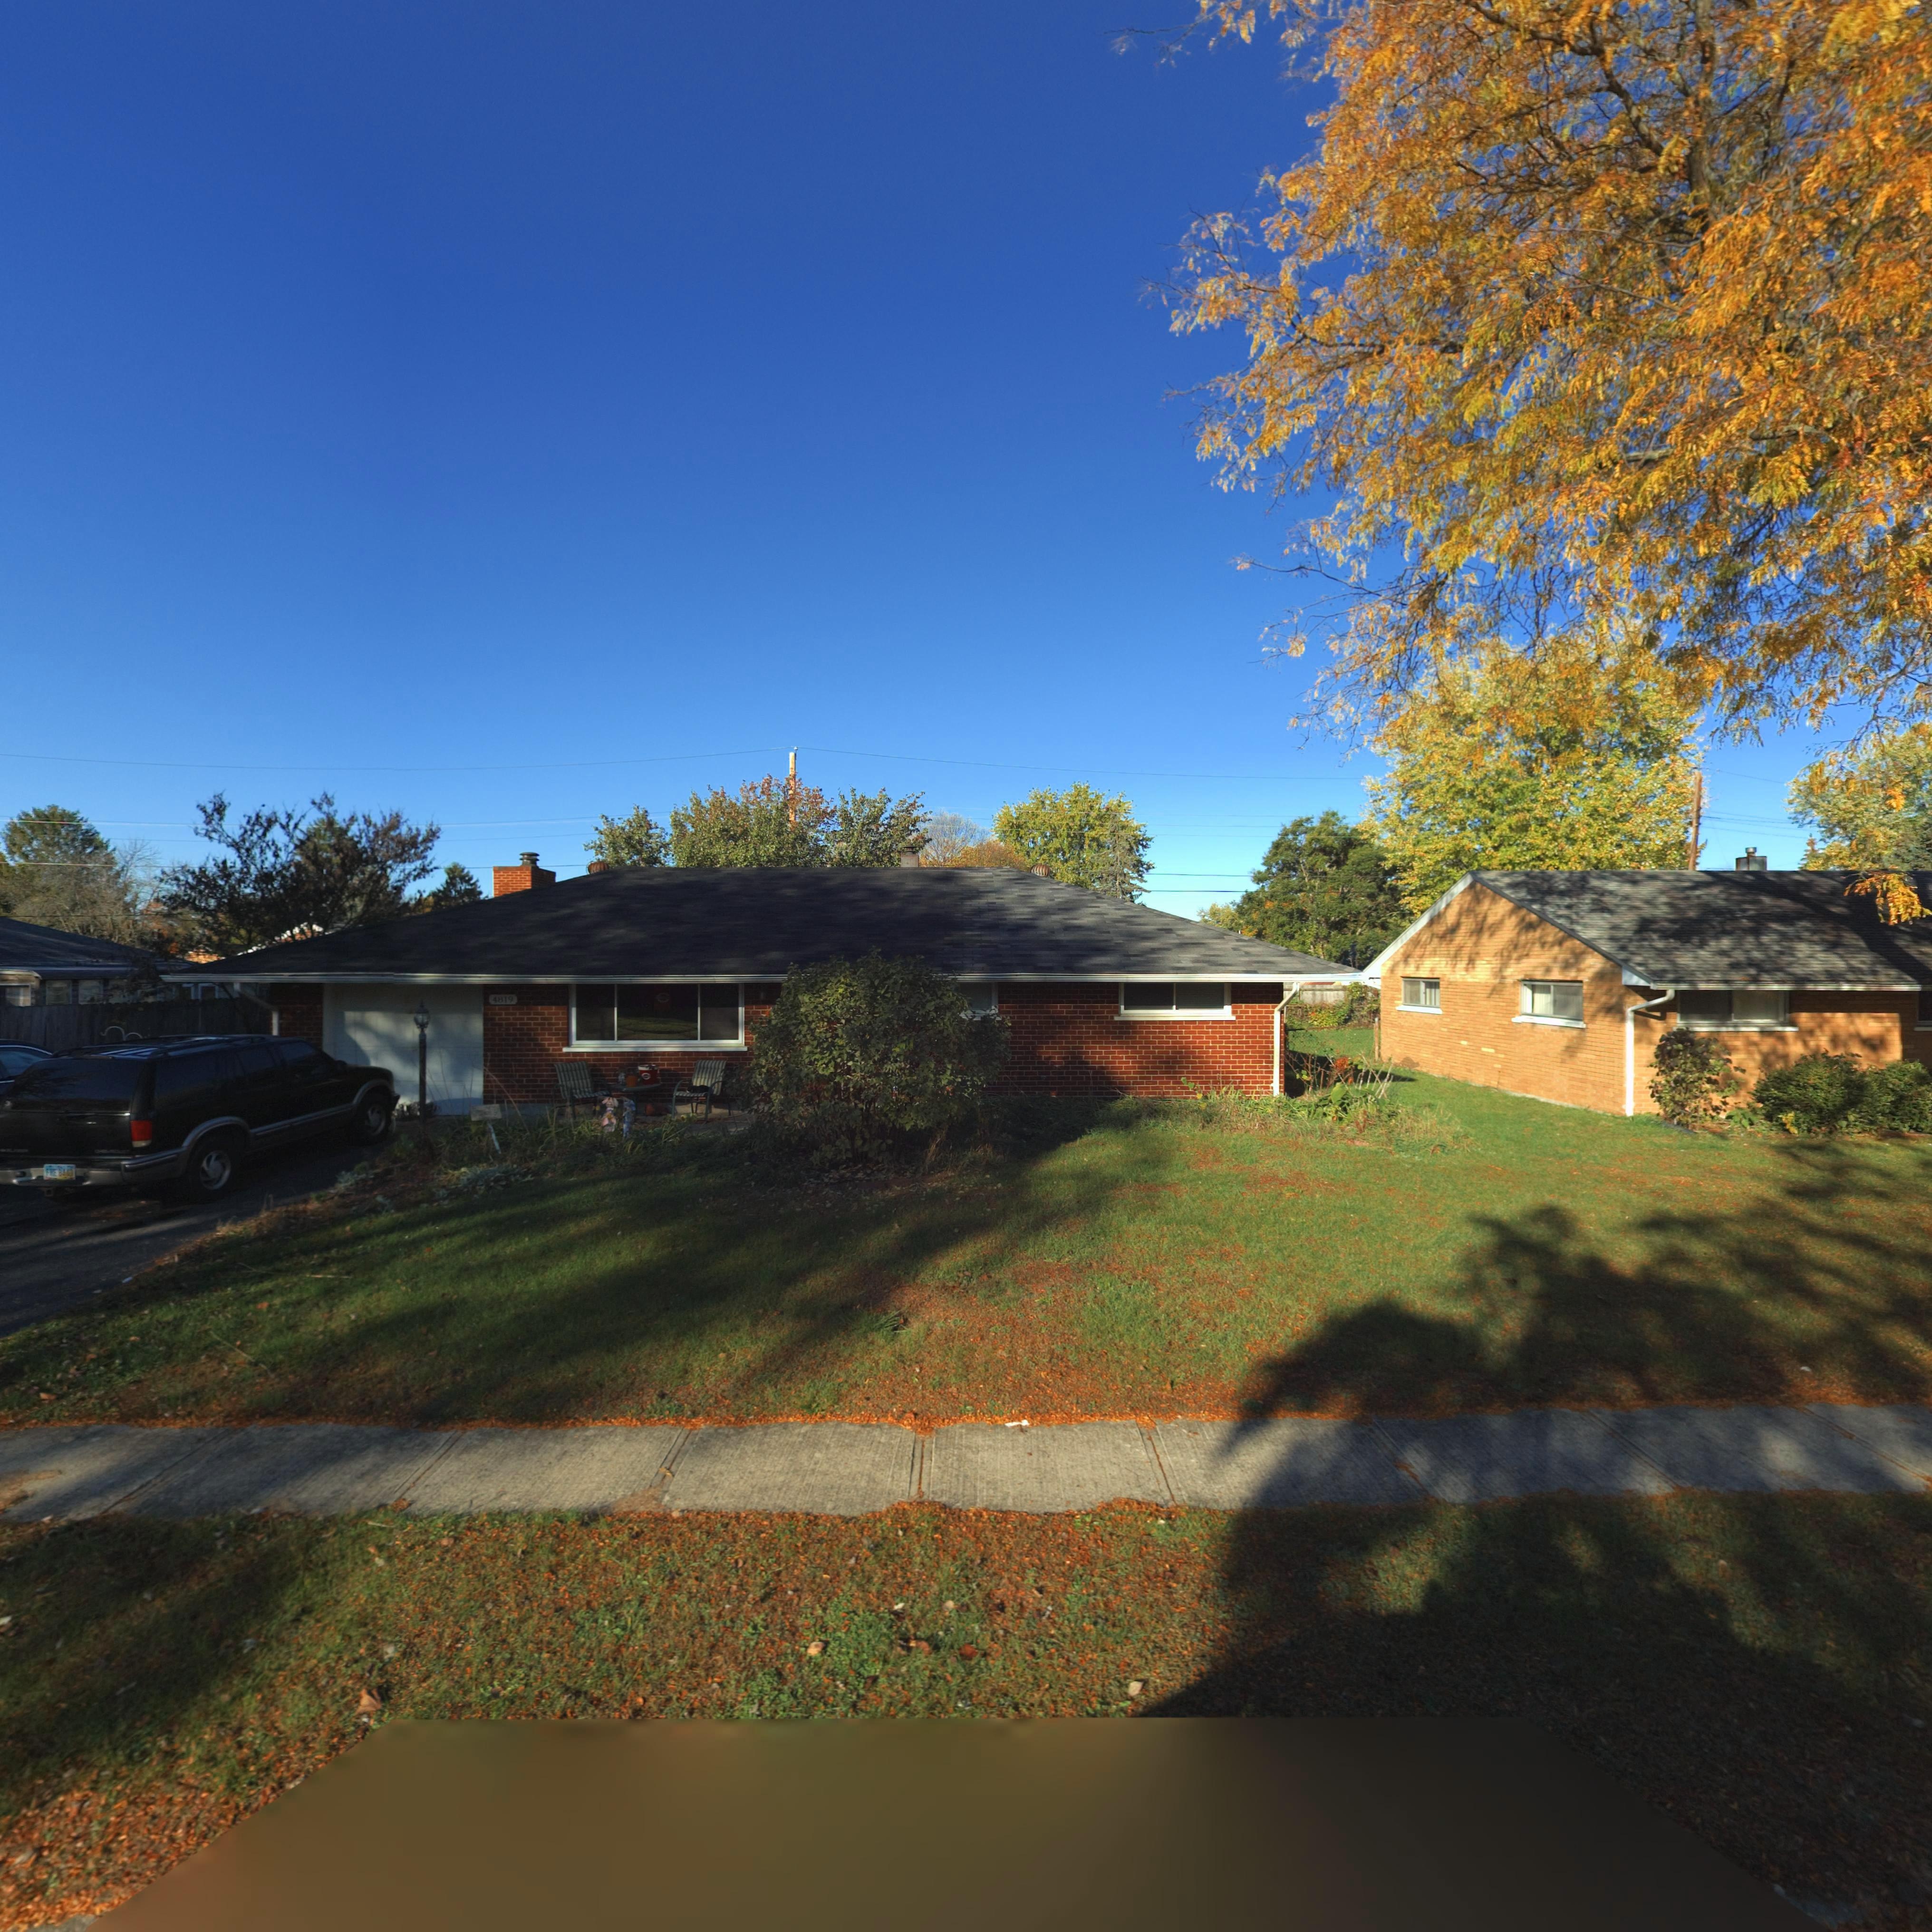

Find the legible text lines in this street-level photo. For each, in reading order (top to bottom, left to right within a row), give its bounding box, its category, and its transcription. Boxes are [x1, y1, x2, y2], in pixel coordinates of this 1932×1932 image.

[491, 995, 515, 1004] StreetNumber: 4819